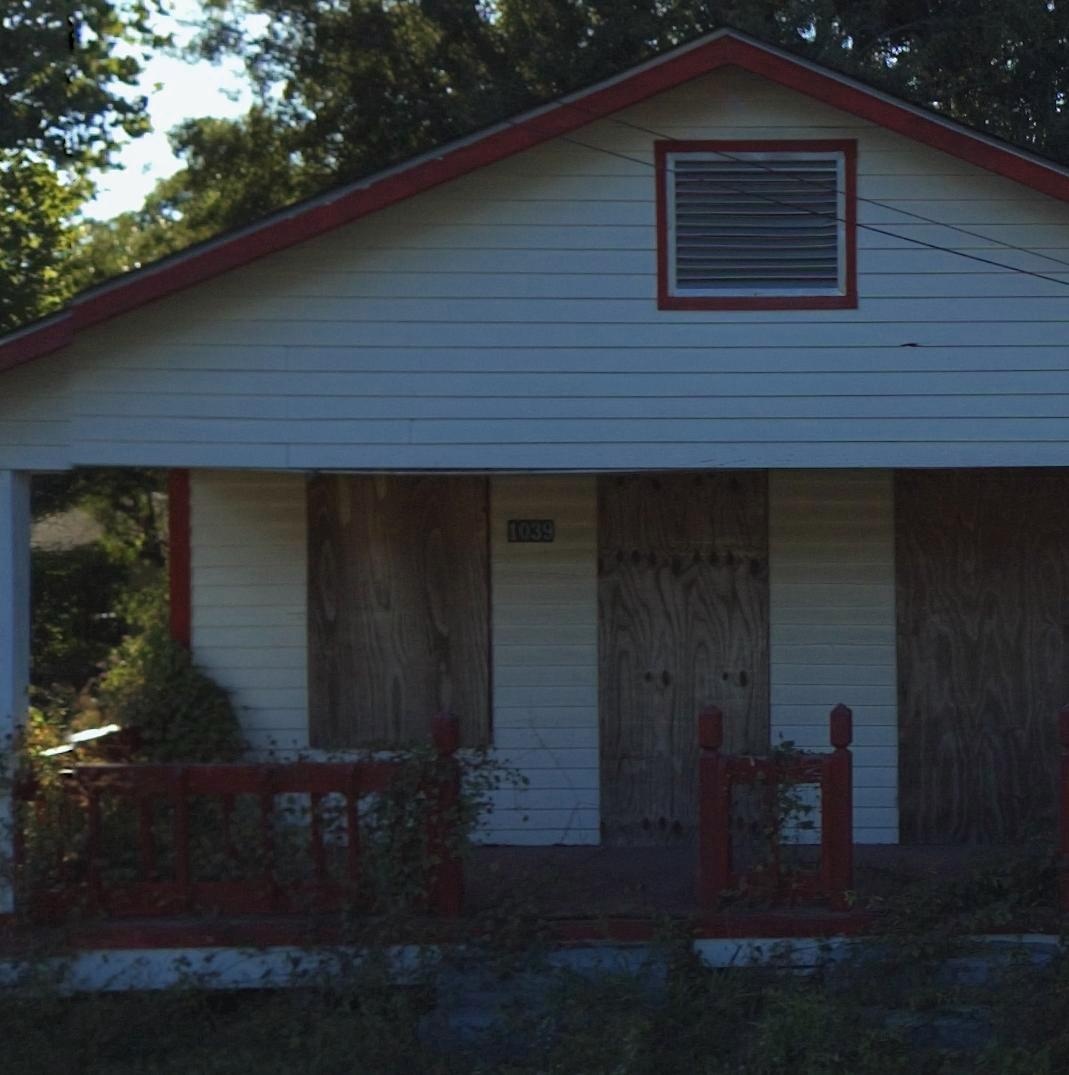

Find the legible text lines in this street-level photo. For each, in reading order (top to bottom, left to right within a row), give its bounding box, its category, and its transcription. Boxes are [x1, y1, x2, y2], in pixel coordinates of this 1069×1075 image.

[508, 519, 555, 542] StreetNumber: 1039